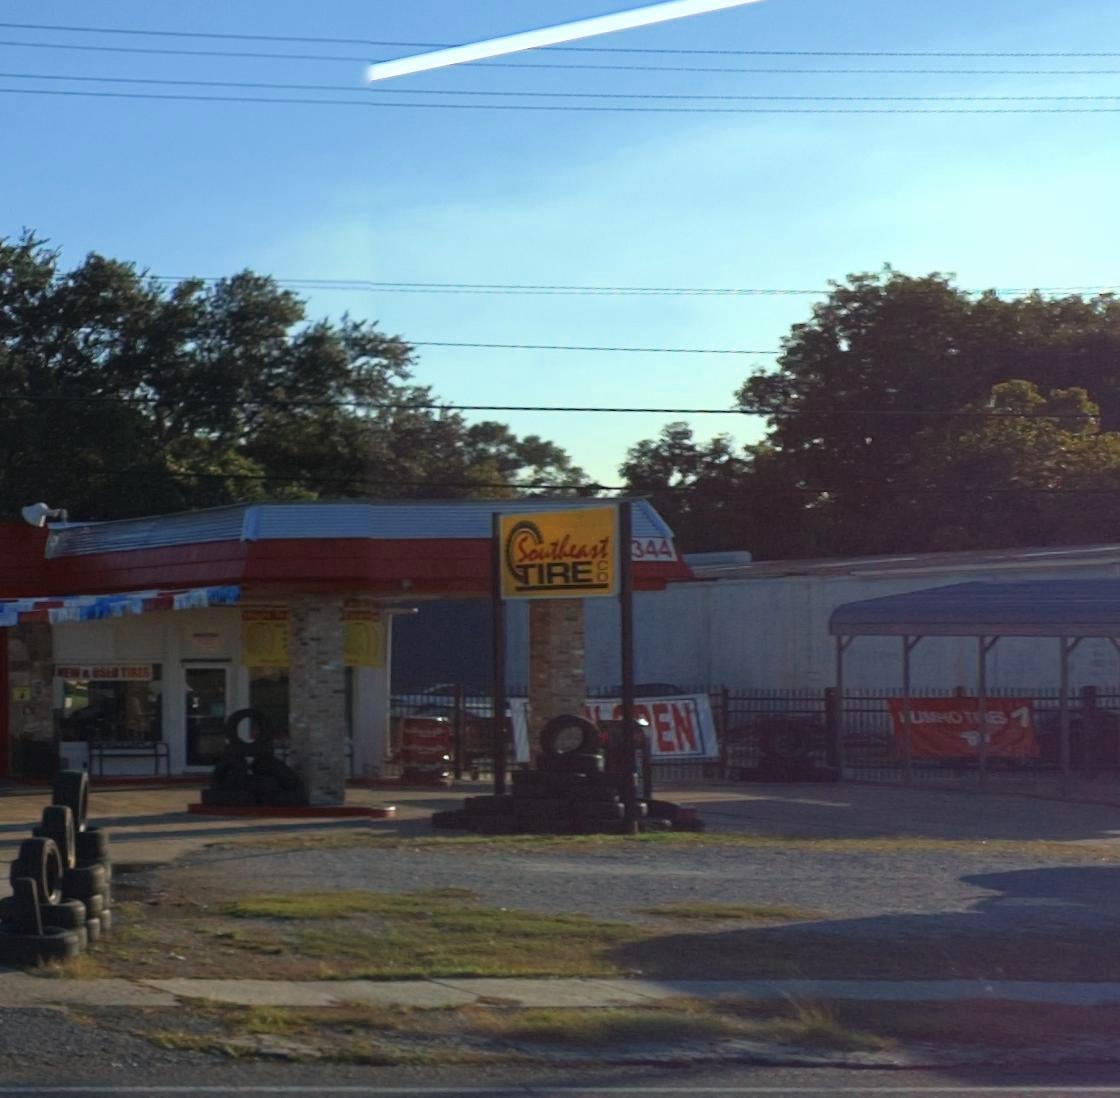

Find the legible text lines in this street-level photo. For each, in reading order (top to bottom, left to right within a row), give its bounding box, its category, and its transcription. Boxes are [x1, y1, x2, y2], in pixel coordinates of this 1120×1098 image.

[515, 533, 611, 564] BusinessName: Southeast
[631, 538, 675, 560] None: 344
[514, 558, 610, 586] BusinessName: TIRE CO
[55, 665, 151, 679] None: NEW & USED TIRES
[651, 701, 698, 753] None: EN
[908, 704, 1030, 730] None: *U***O T**ES 1